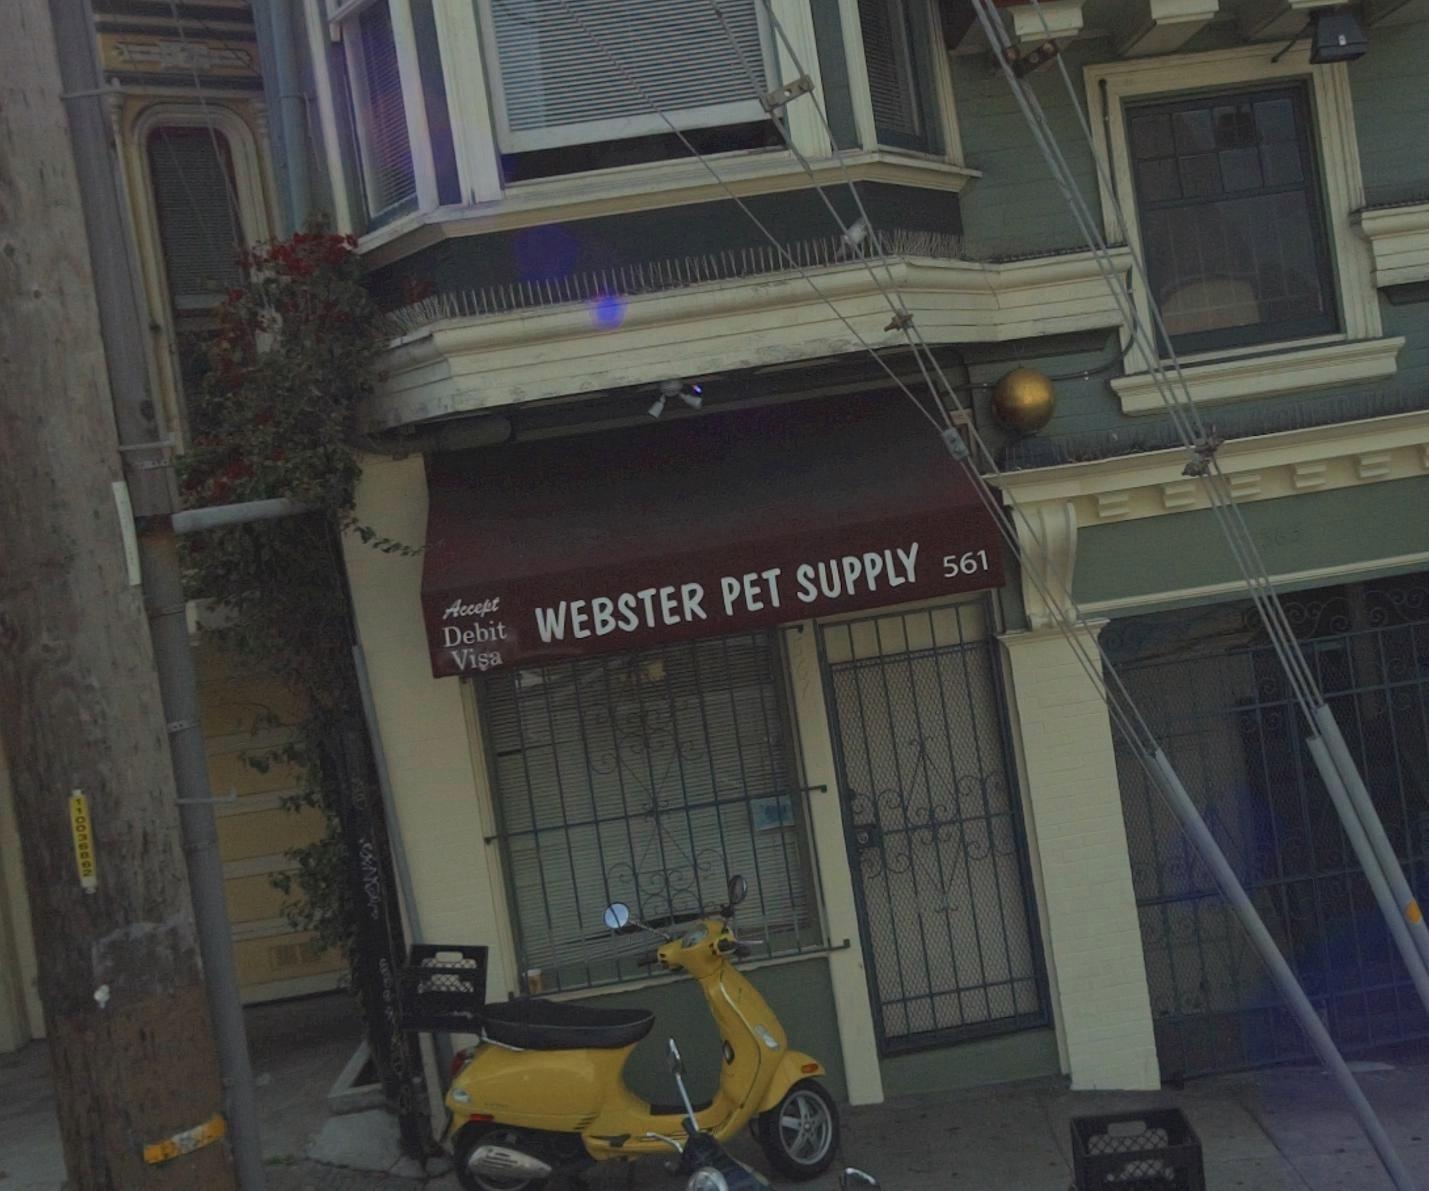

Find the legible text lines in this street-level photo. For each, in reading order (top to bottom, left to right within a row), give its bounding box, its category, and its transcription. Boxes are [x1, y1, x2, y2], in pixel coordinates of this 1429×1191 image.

[1272, 521, 1292, 549] StreetNumber: 6
[939, 544, 995, 582] StreetNumber: 561
[436, 591, 504, 624] None: Accept
[529, 536, 923, 648] BusinessName: WEBSTER PET SUPPLY
[438, 616, 513, 653] None: Debit
[442, 645, 508, 675] None: Visa
[70, 794, 97, 882] None: 110036**2